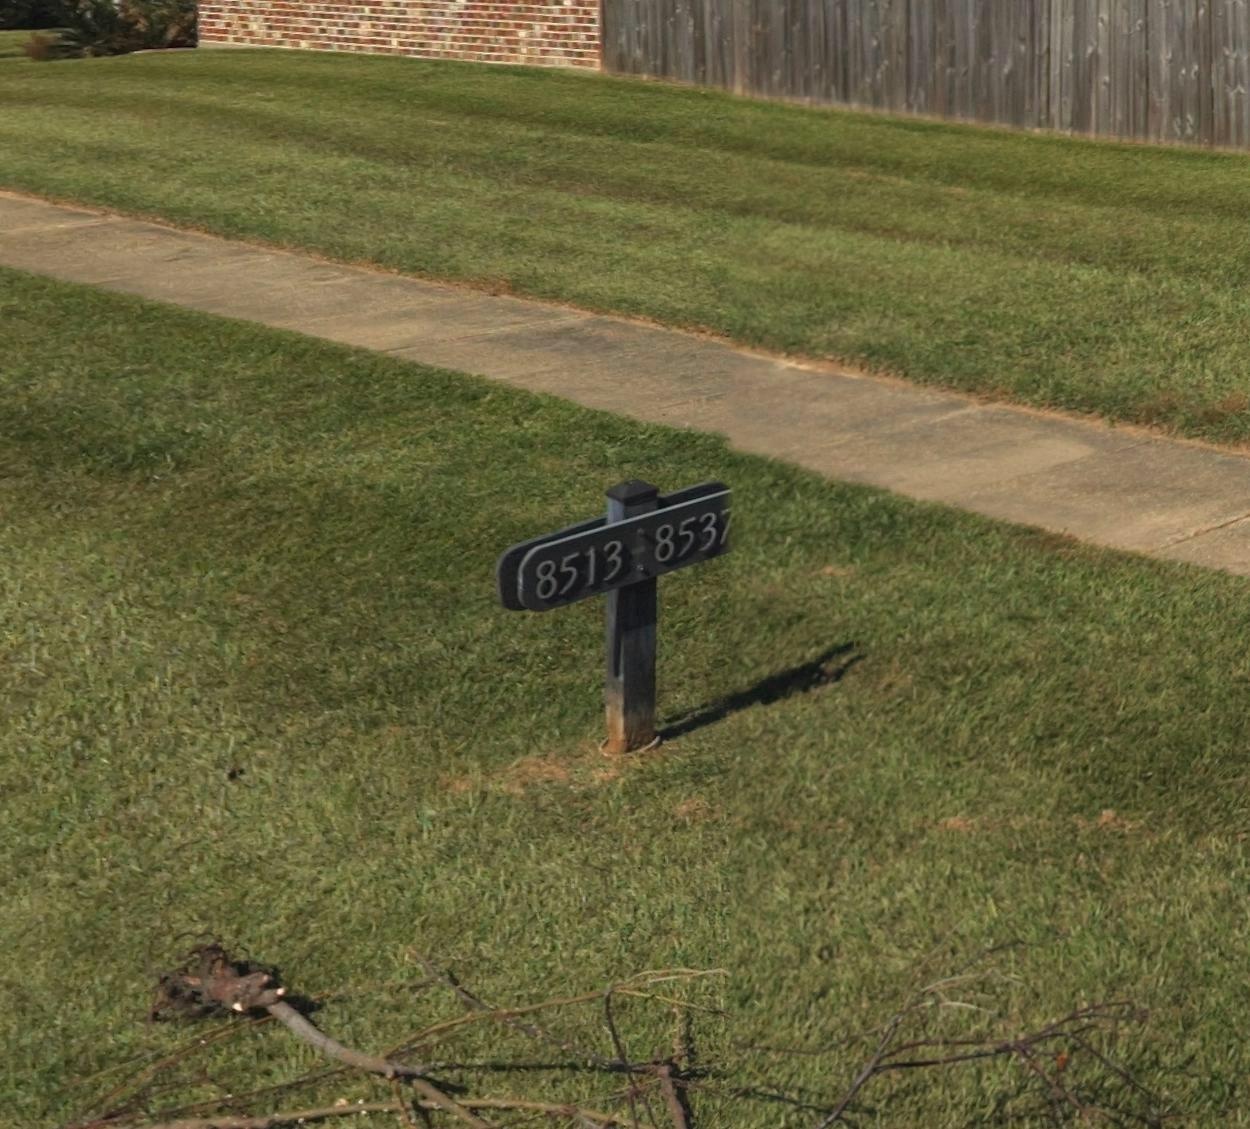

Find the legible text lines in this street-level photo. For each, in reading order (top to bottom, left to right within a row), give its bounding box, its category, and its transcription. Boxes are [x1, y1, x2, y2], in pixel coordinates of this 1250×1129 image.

[531, 500, 742, 607] StreetNumberRange: 8513-8537